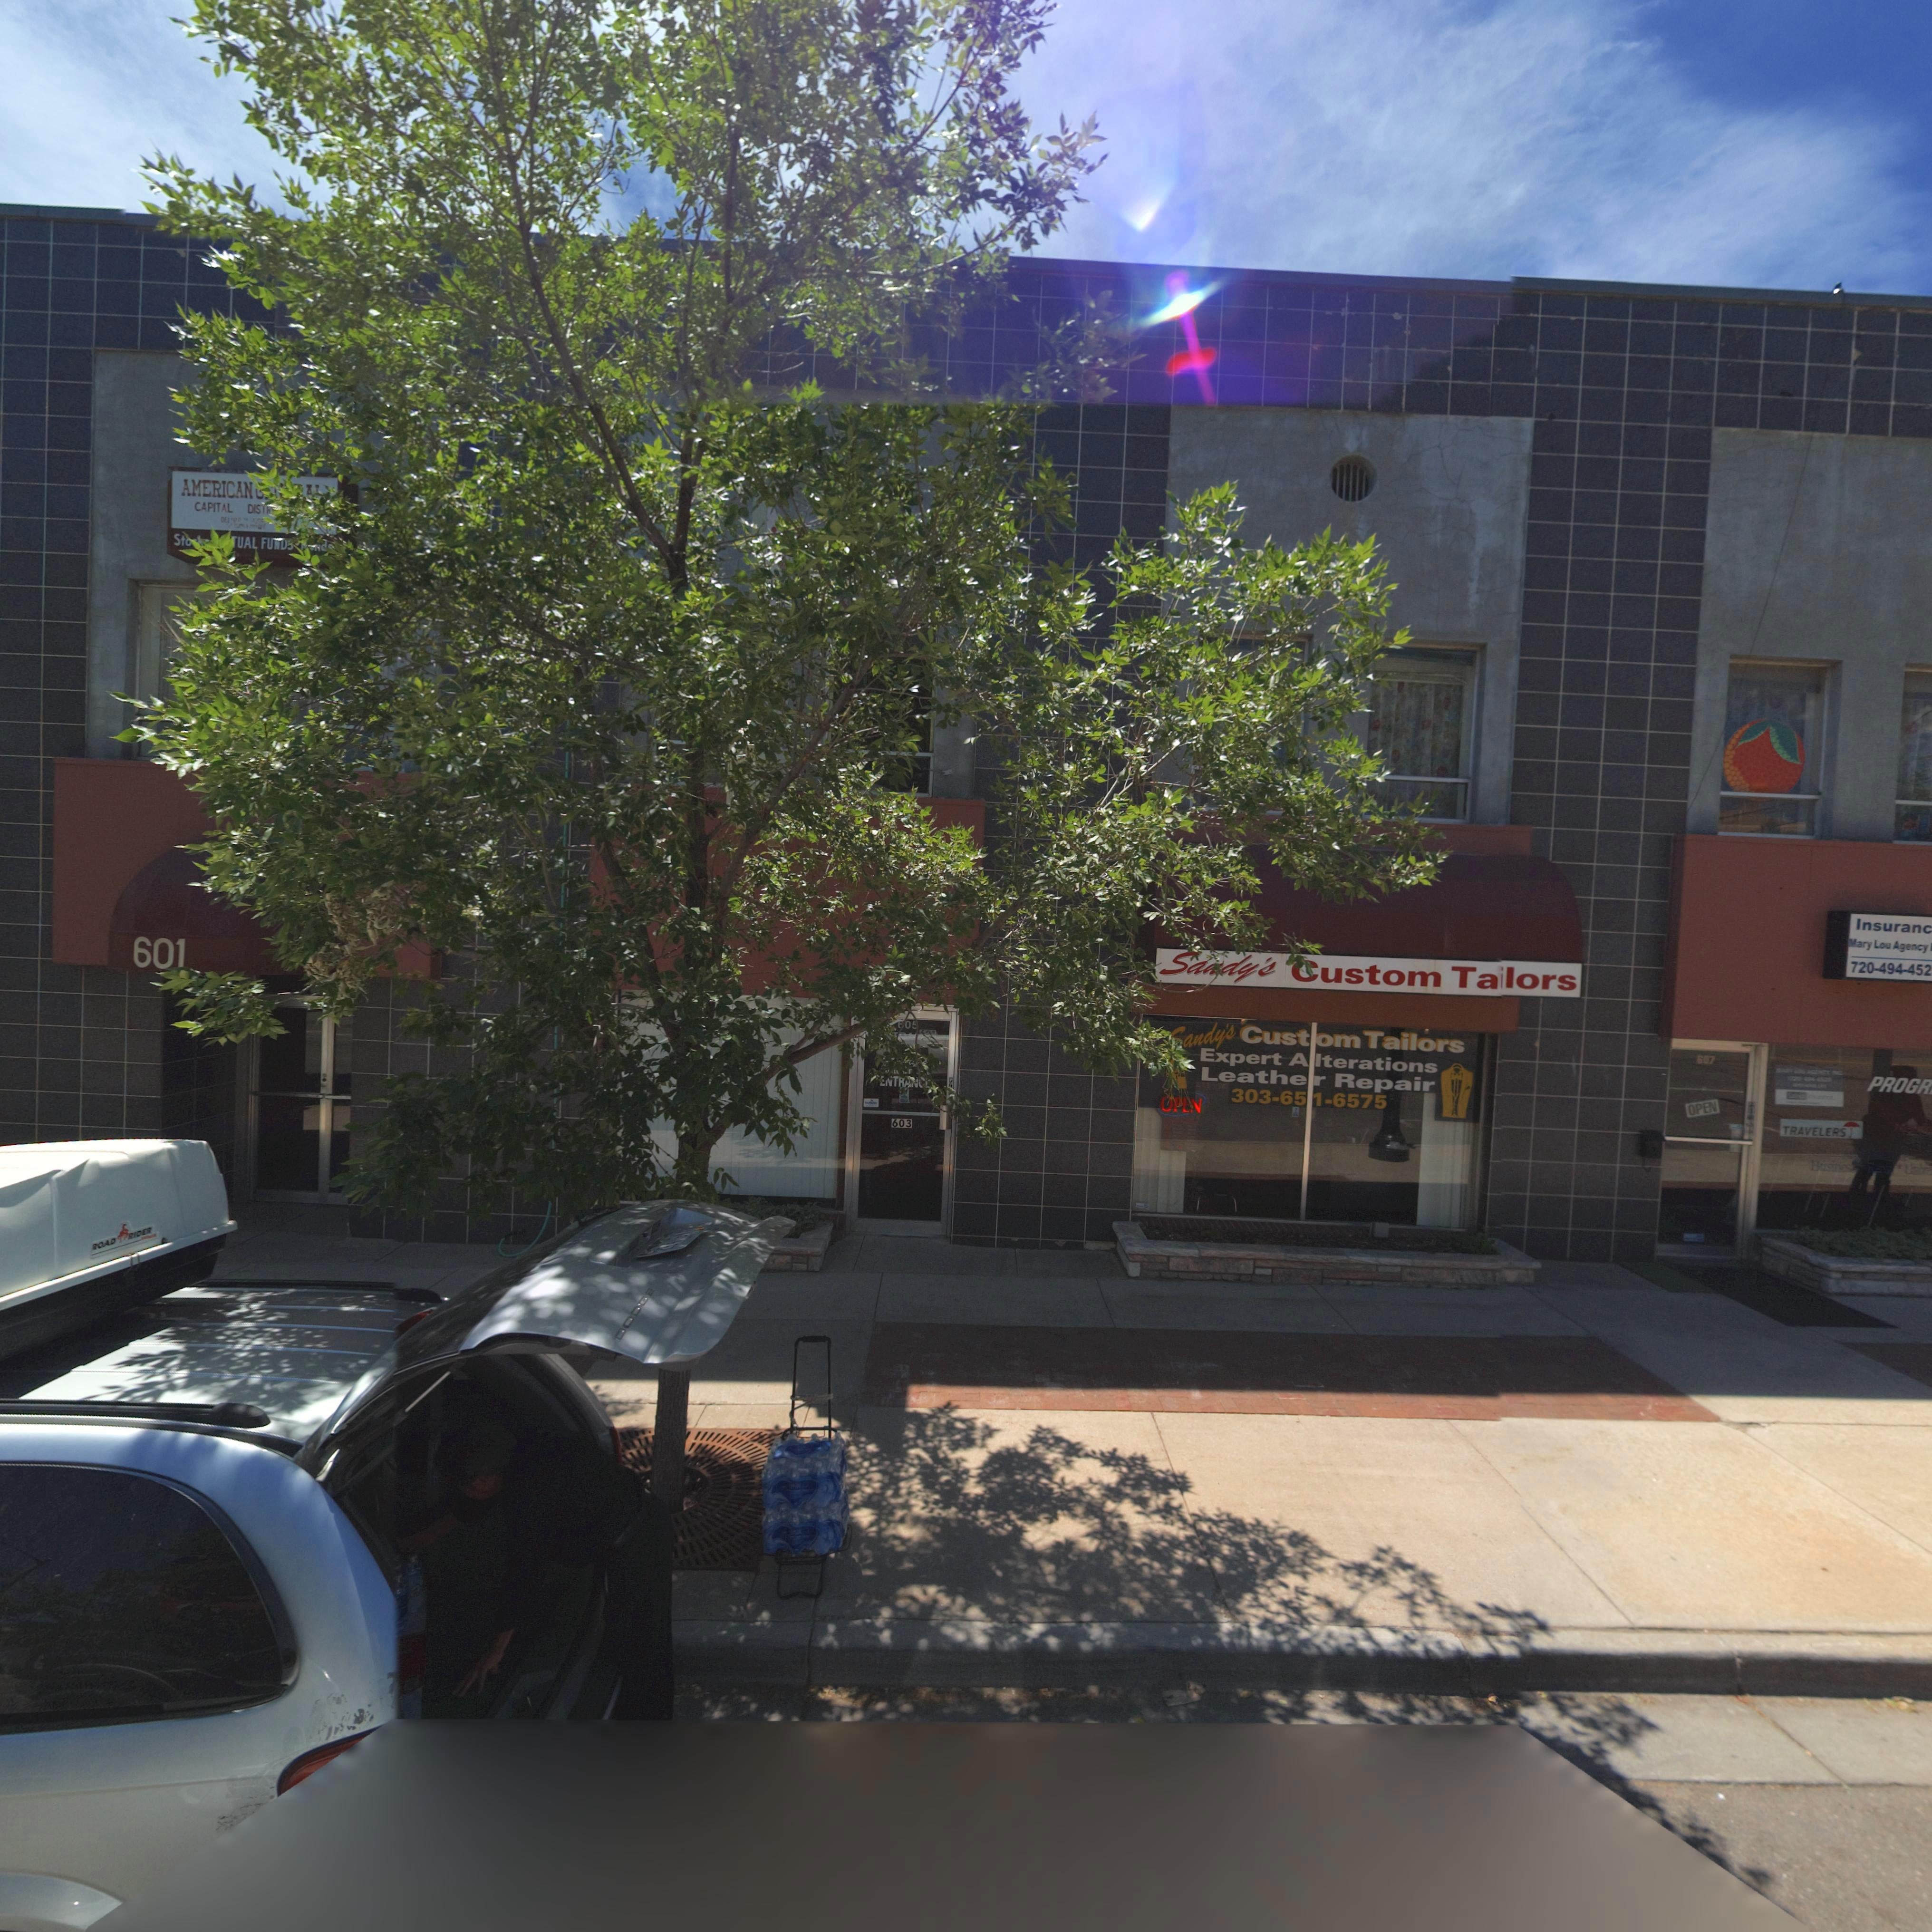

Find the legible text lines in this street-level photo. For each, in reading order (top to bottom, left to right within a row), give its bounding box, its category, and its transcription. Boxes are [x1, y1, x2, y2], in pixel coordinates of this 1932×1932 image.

[181, 479, 253, 499] BusinessName: AMERICAN
[193, 500, 261, 515] BusinessName: CAPITAL DIS
[133, 936, 185, 969] StreetNumber: 601
[1847, 937, 1930, 955] BusinessName: Mary Lou Agency
[1159, 951, 1276, 983] BusinessName: Sandy's
[1290, 960, 1578, 992] BusinessName: Custom Ta*lors
[898, 1019, 917, 1029] StreetNumber: 605
[1170, 1022, 1236, 1050] BusinessName: *andy's
[1239, 1025, 1465, 1053] BusinessName: Custom Tailors
[1698, 1055, 1715, 1064] StreetNumber: *07
[891, 1119, 912, 1128] StreetNumber: 603